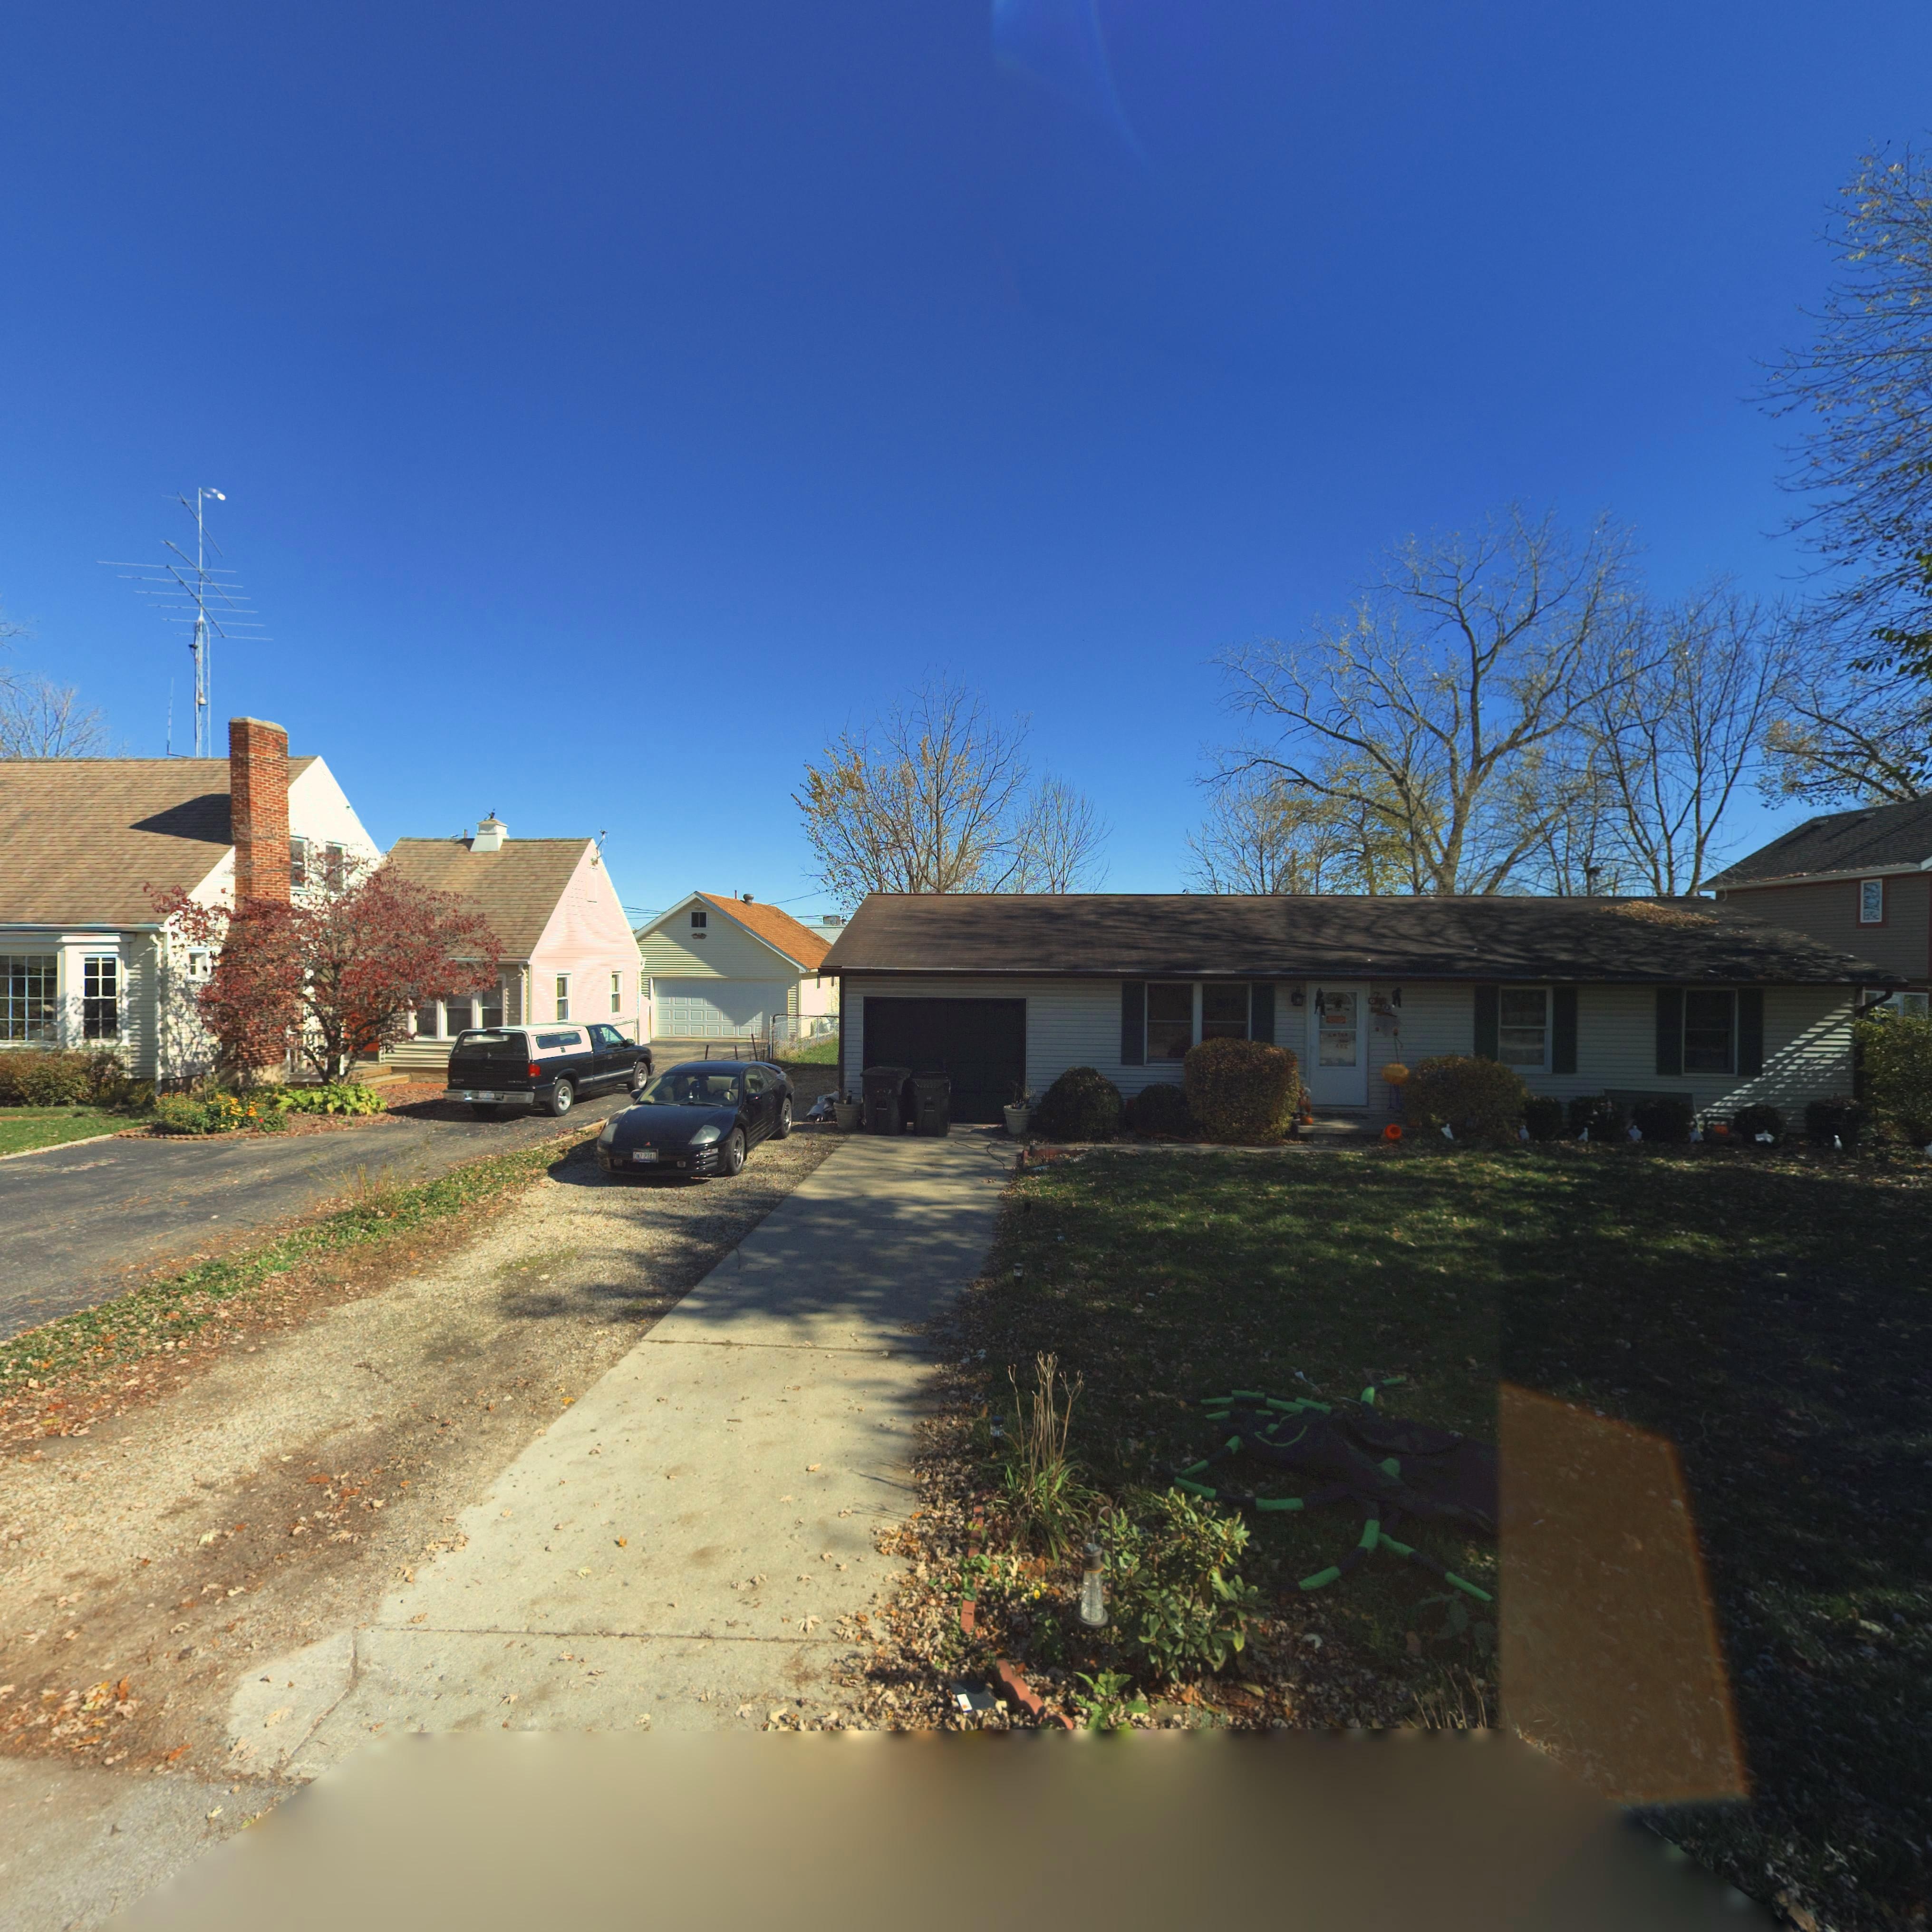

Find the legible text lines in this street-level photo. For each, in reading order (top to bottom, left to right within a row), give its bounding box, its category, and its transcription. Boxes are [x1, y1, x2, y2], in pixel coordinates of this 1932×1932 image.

[1372, 991, 1391, 1011] StreetNumber: 7*0